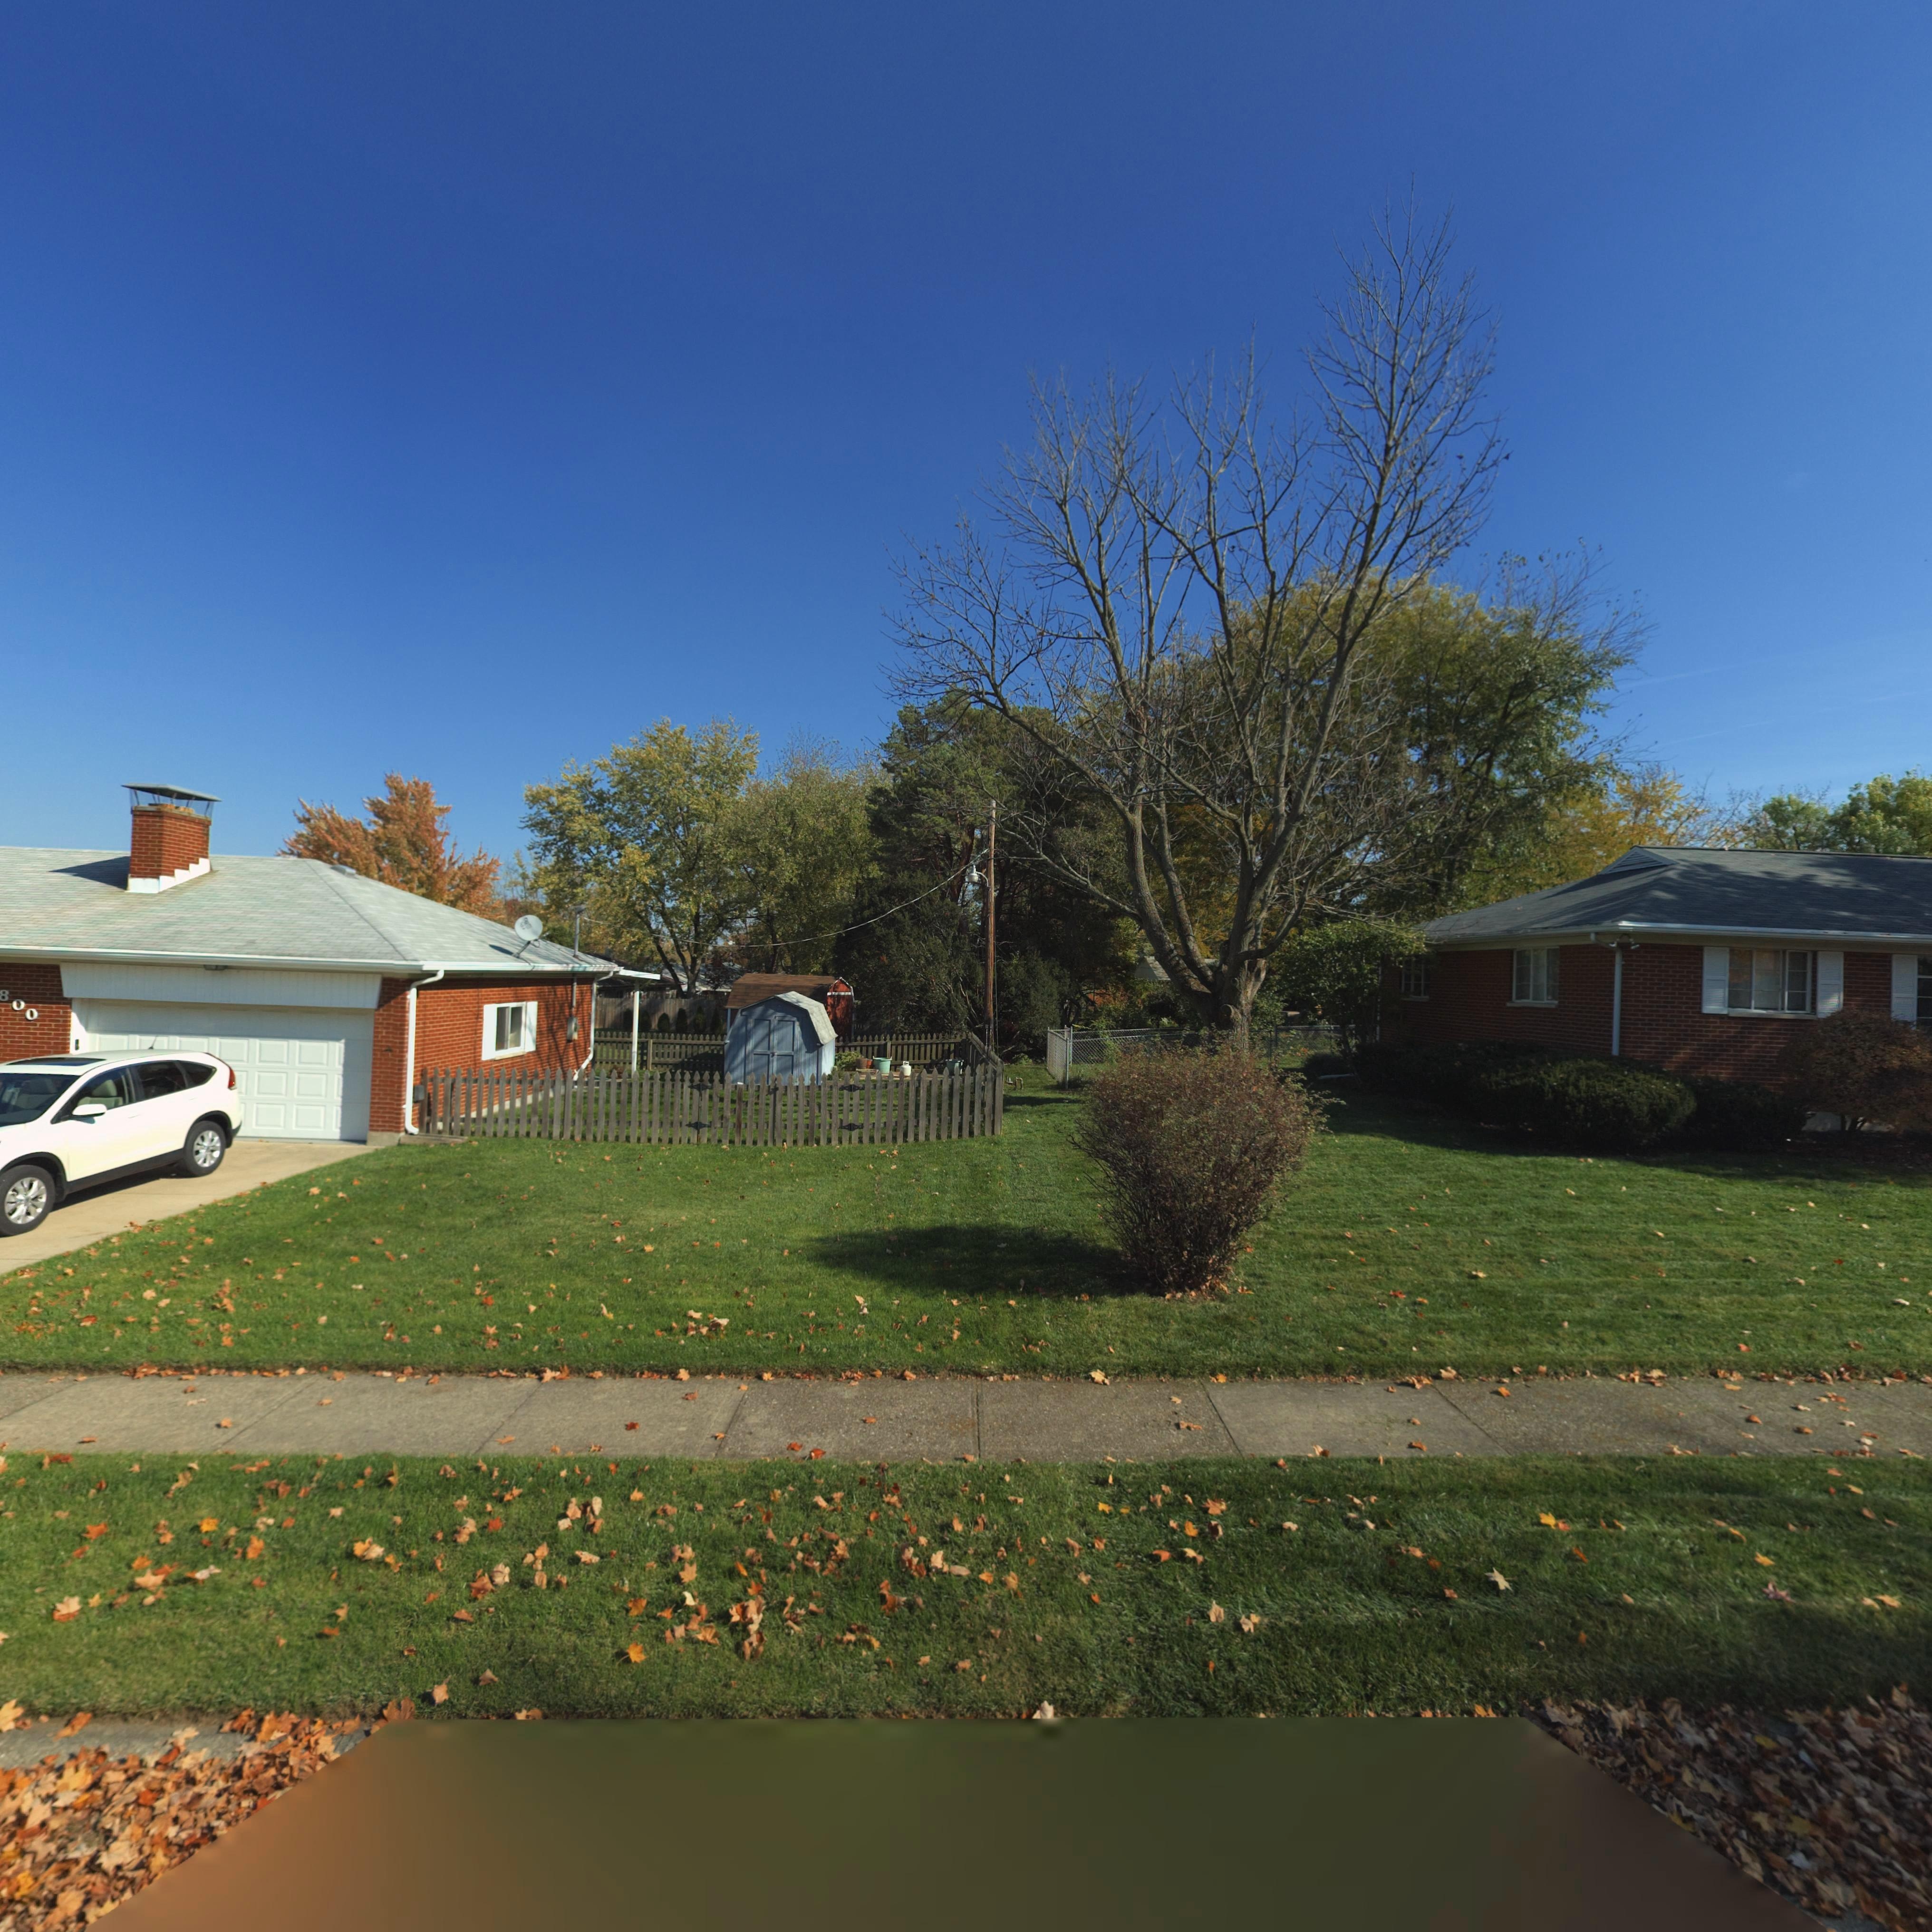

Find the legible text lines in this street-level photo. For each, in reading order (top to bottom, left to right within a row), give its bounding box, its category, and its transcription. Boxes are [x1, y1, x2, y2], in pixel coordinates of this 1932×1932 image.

[0, 987, 40, 1022] StreetNumber: 800